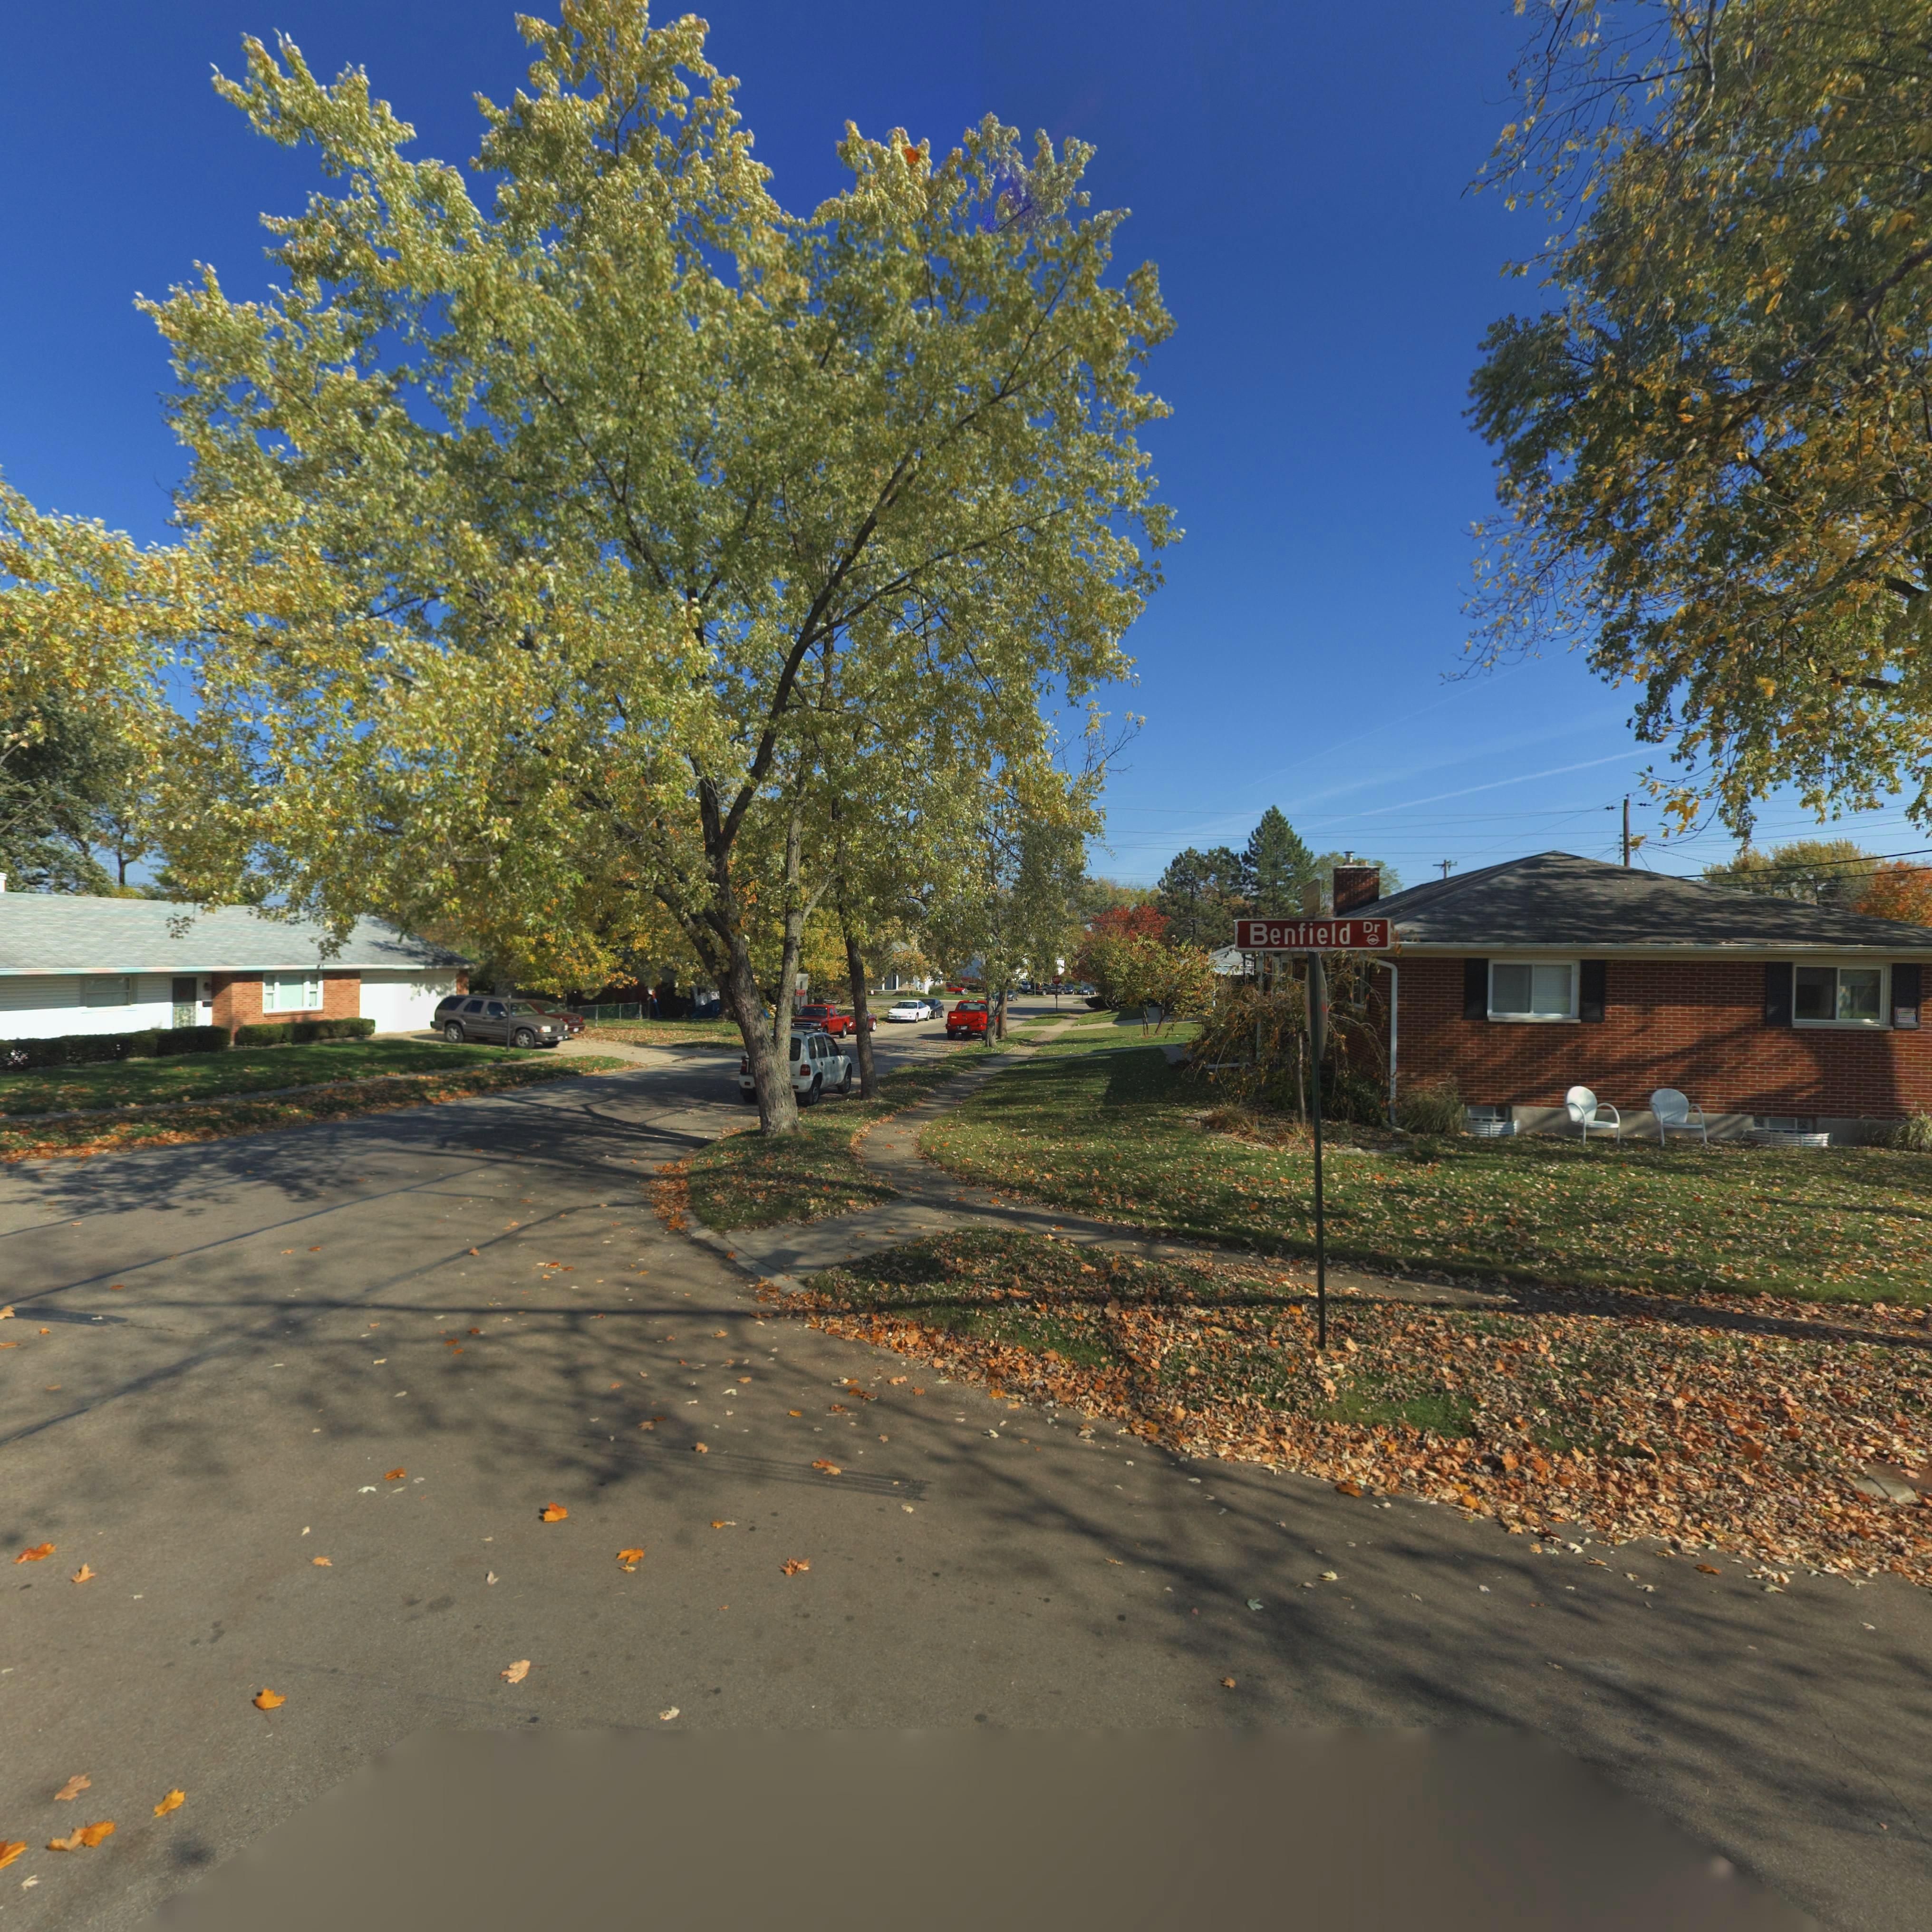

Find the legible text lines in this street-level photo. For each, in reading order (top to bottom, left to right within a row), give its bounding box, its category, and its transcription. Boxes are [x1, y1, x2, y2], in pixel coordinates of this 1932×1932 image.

[1248, 920, 1382, 946] StreetName: Benfield Dr